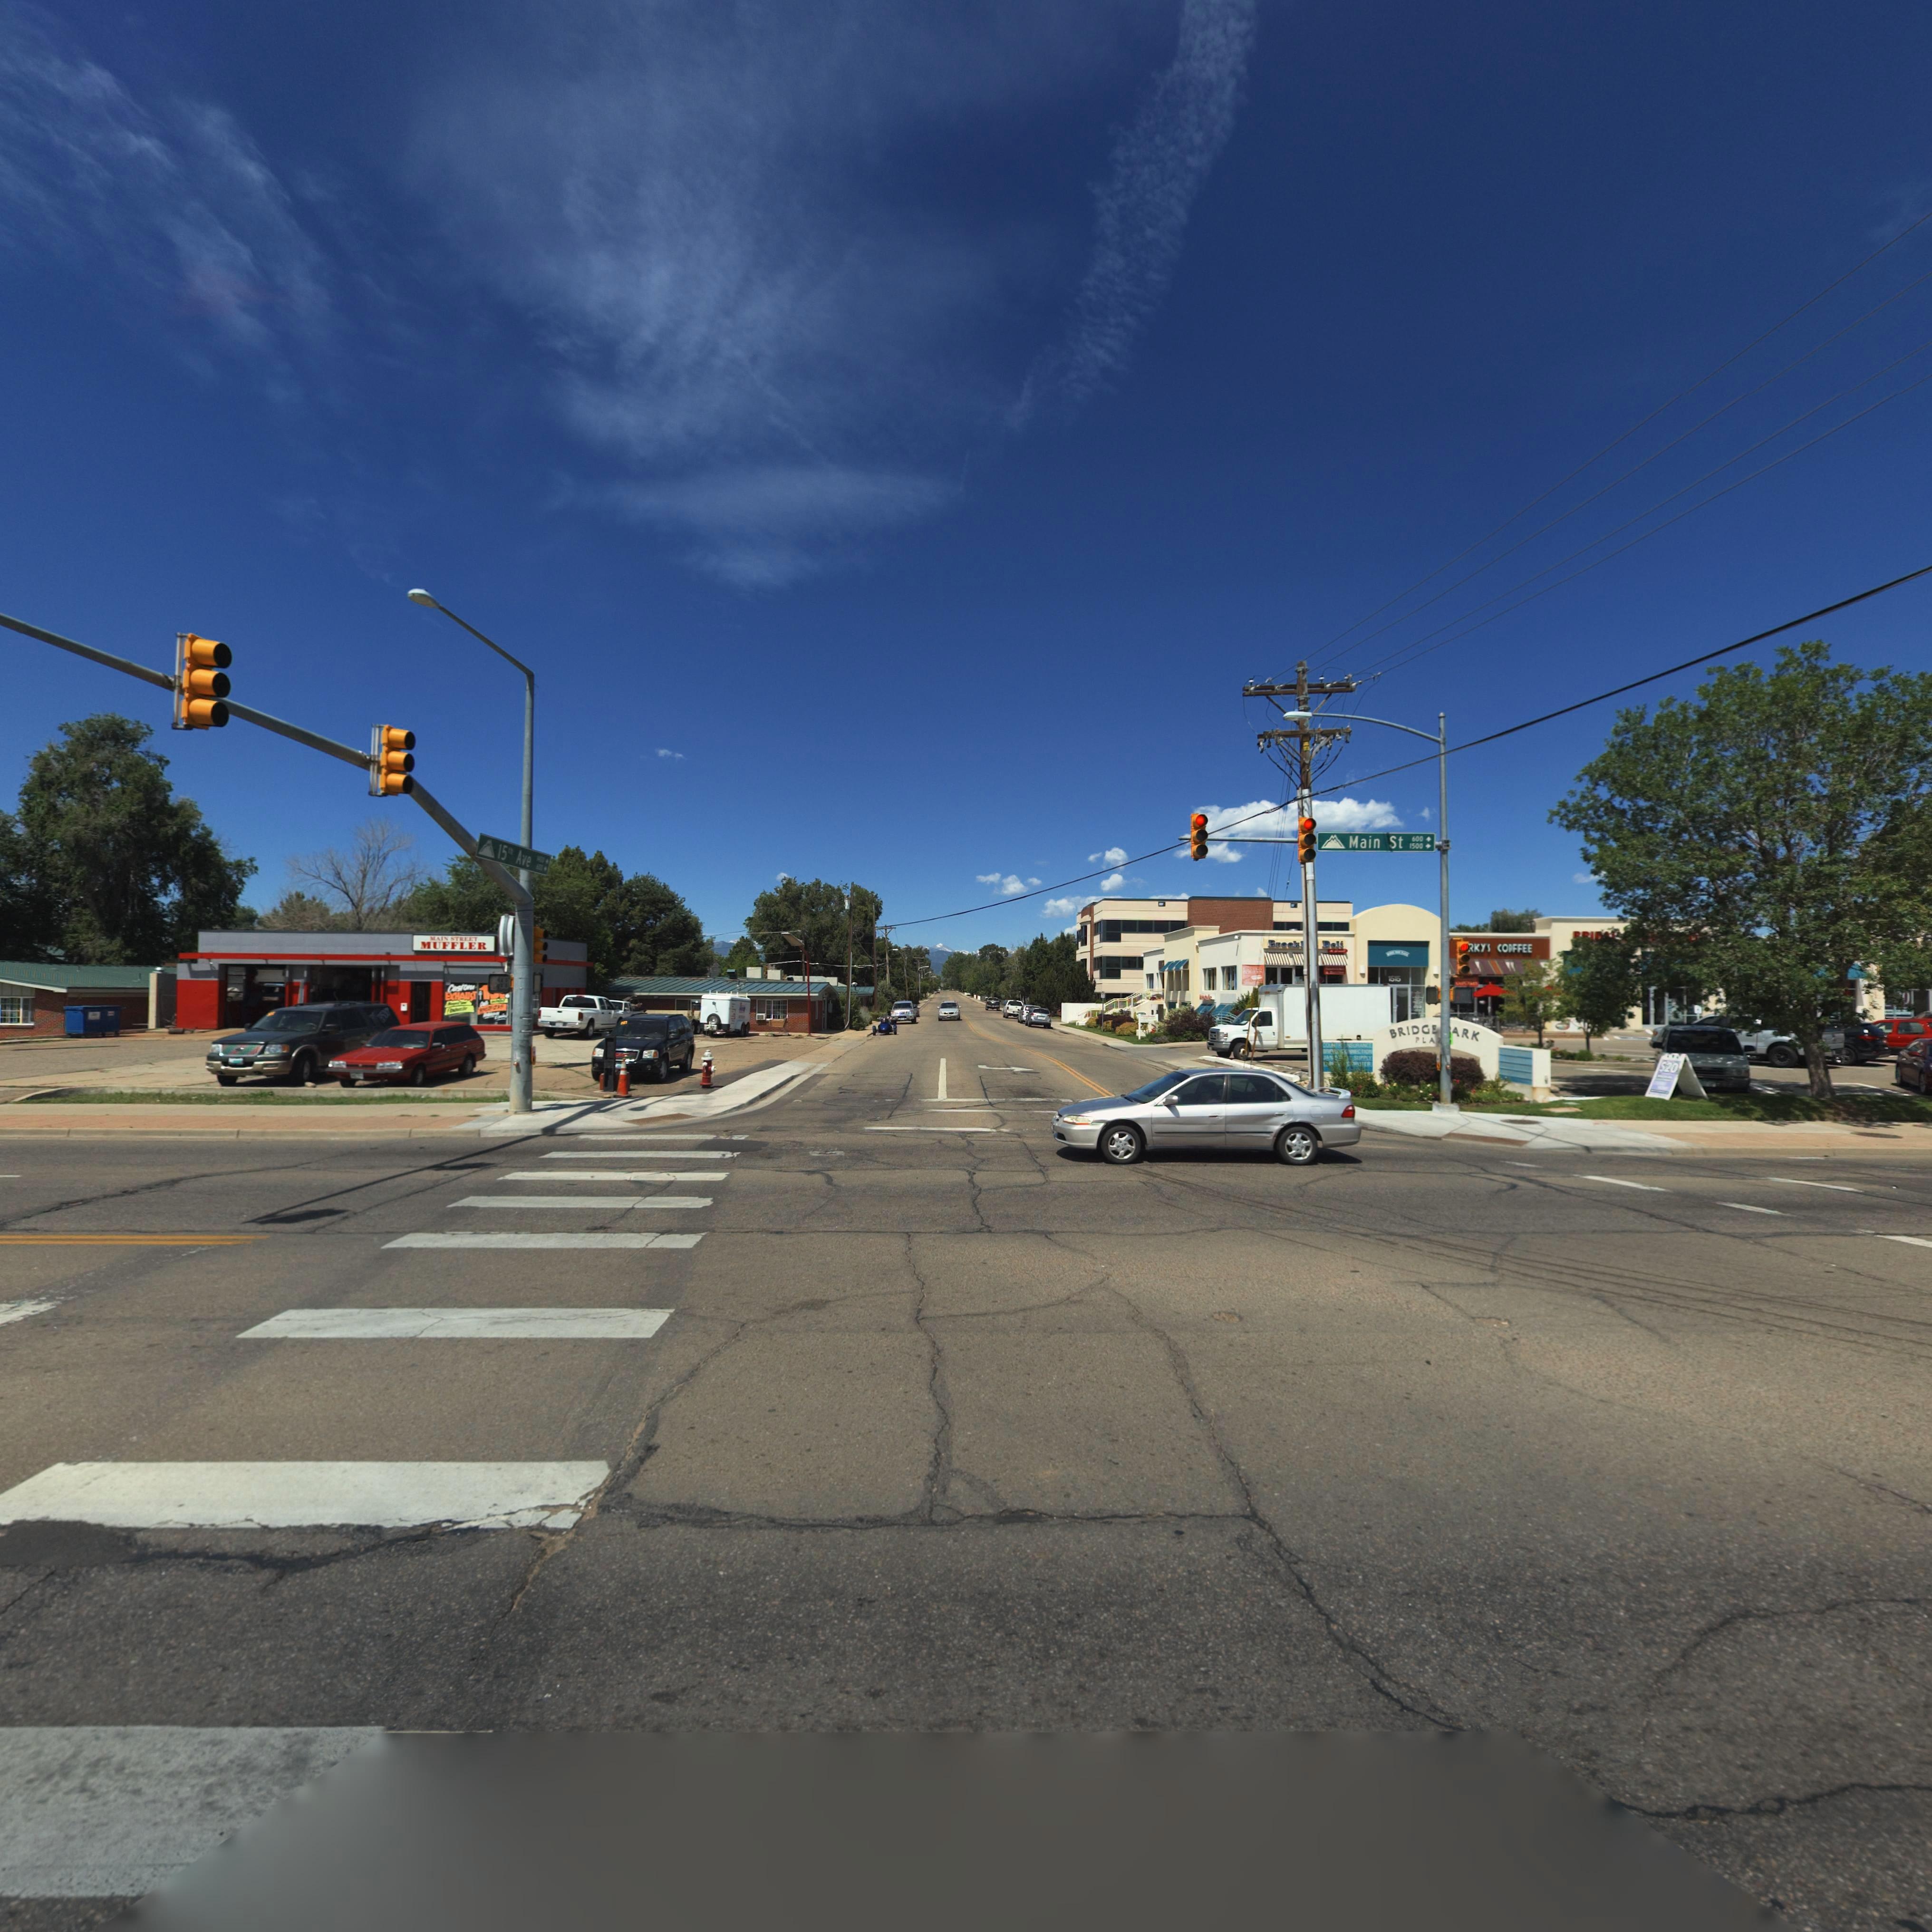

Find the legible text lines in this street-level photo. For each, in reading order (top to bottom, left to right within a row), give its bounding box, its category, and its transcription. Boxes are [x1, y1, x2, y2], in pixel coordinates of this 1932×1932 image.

[1349, 835, 1404, 849] StreetName: Main St
[1411, 835, 1423, 842] StreetNumberRange: 600
[1409, 842, 1432, 849] StreetNumberRange: 1500->
[497, 842, 531, 868] StreetName: 15th Ave
[429, 936, 479, 941] BusinessName: MAIN STREET
[420, 941, 487, 950] BusinessName: MUFFLERS
[1268, 939, 1343, 947] BusinessName: Brook*** Deli
[1468, 943, 1533, 953] BusinessName: *KYS CO*FFEE
[1388, 976, 1401, 982] StreetNumber: 1515
[1349, 1042, 1372, 1048] BusinessName: SURANCE